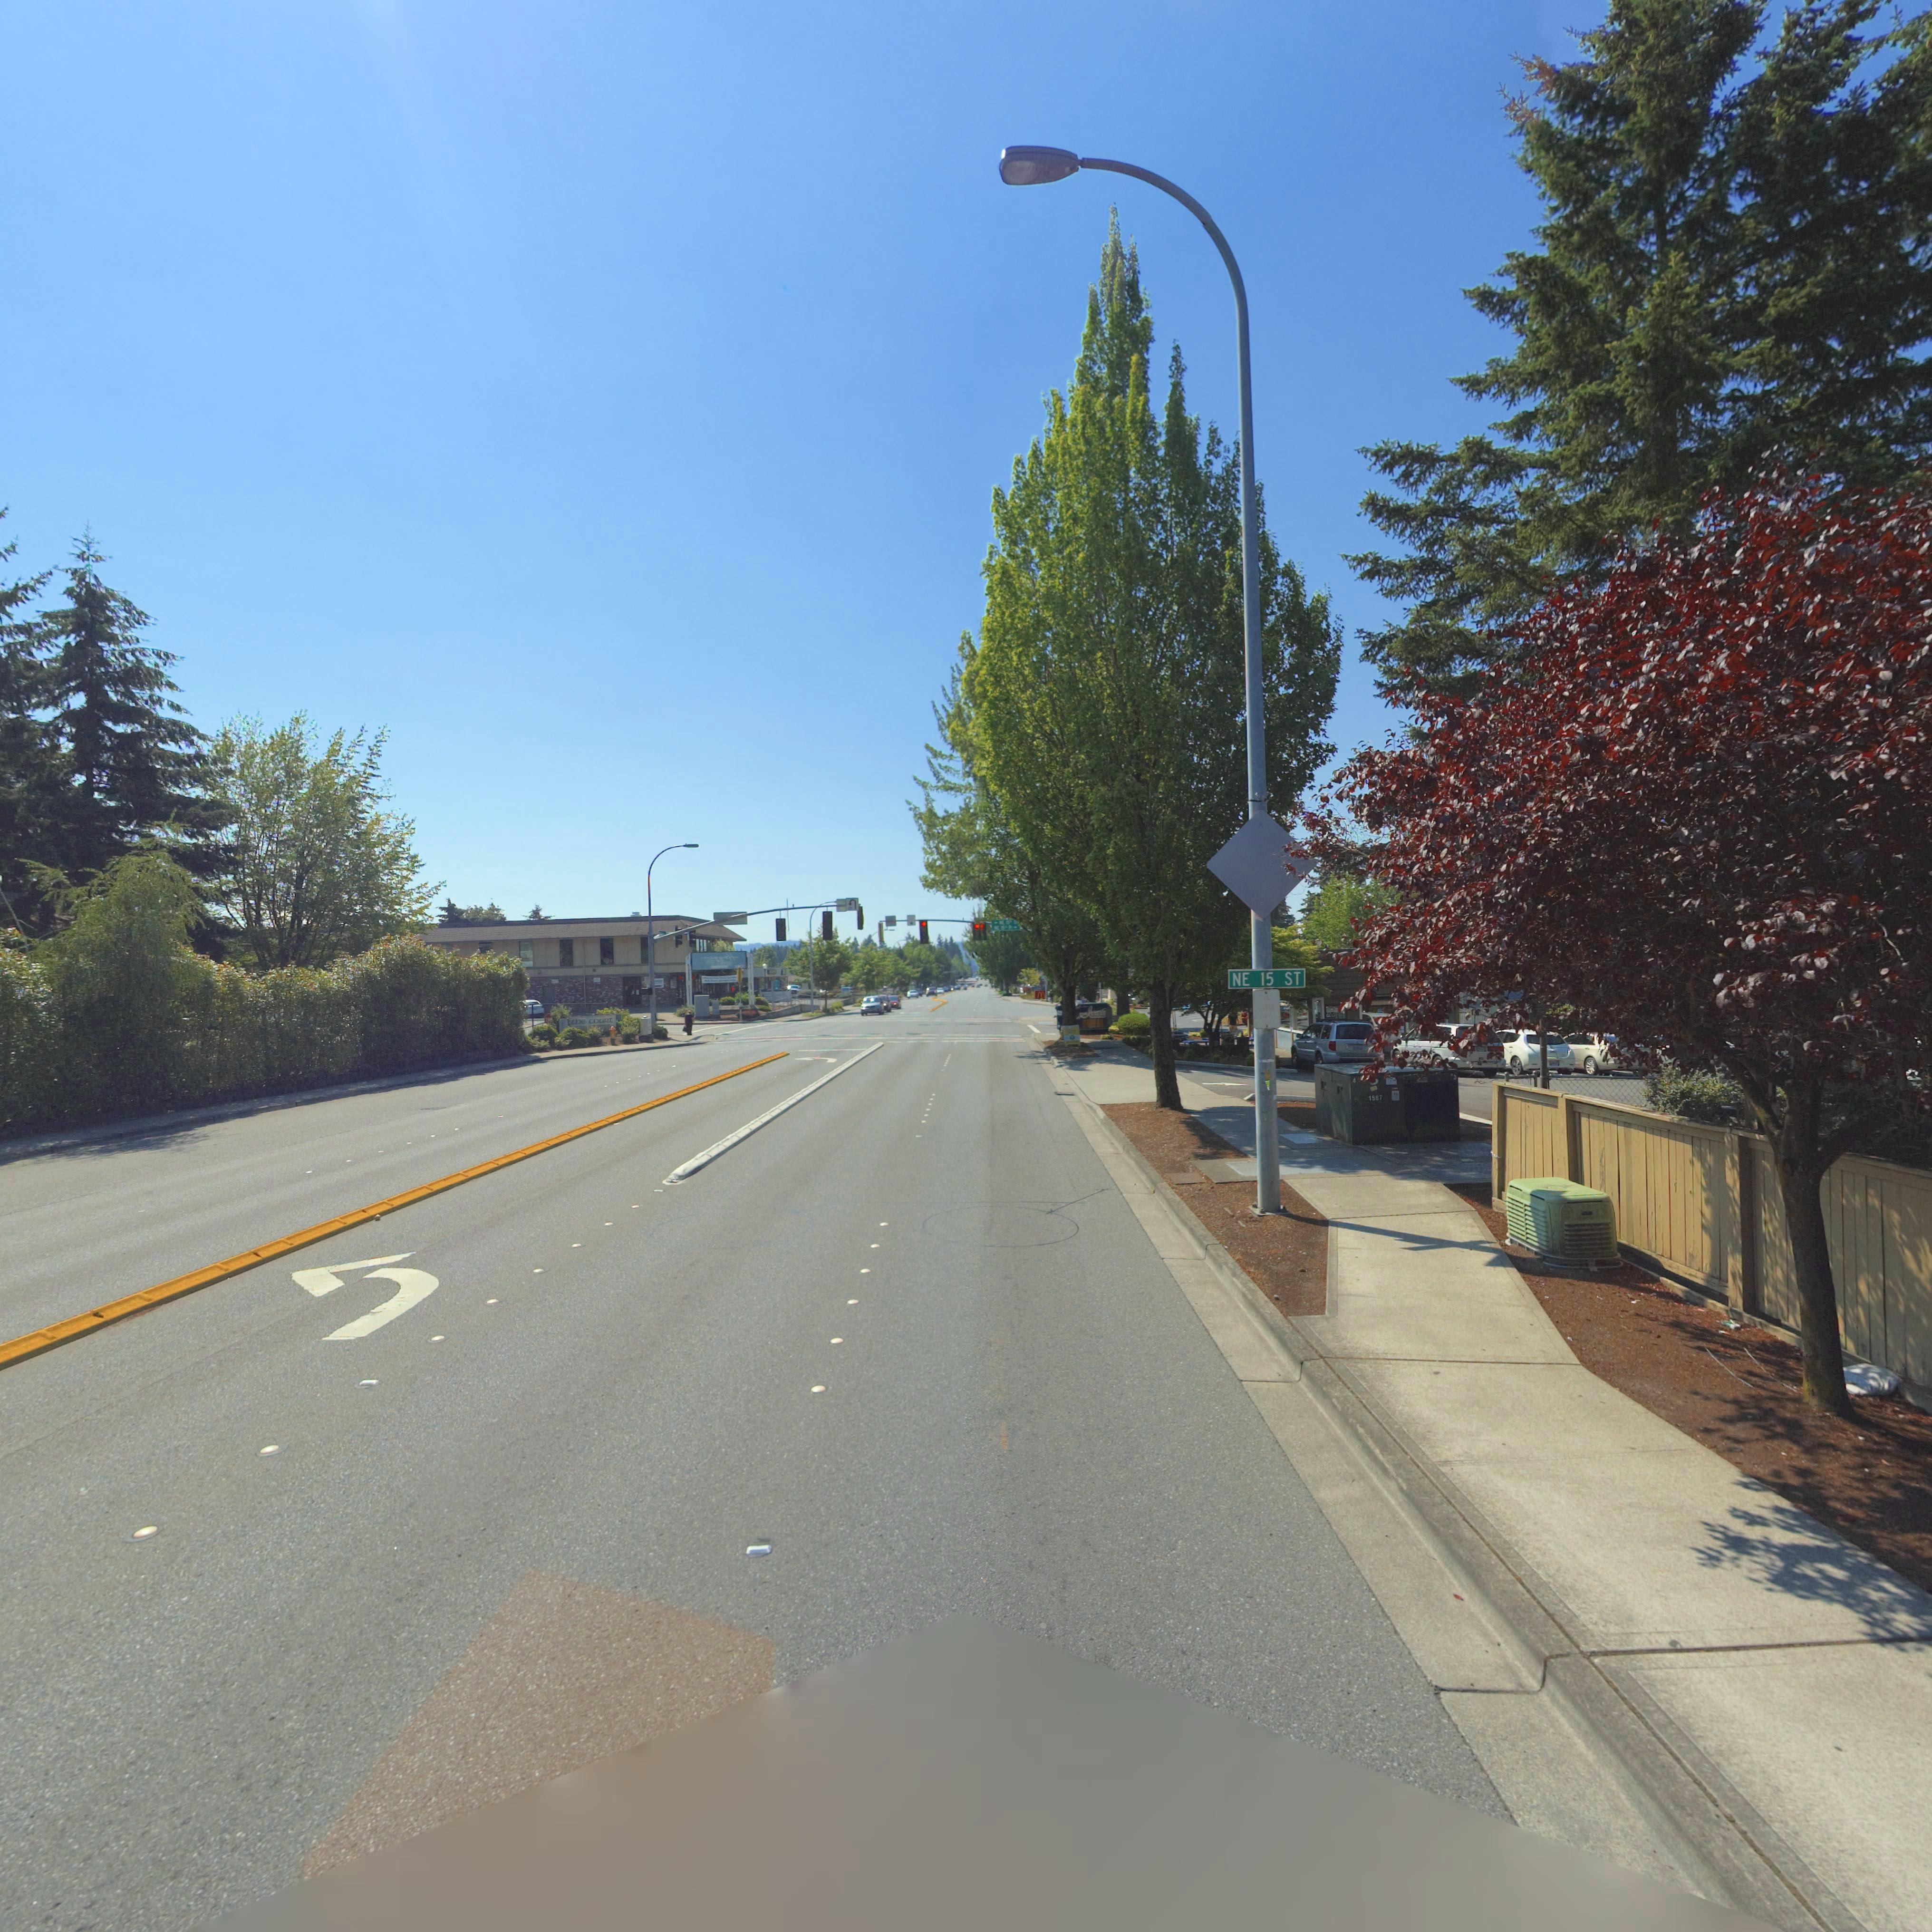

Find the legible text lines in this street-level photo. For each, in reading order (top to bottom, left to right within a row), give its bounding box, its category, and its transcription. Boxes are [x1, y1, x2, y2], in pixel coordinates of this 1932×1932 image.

[1232, 971, 1302, 987] StreetName: NE 15 ST
[570, 1017, 614, 1026] None: The Court
[1369, 1095, 1382, 1101] None: 1587